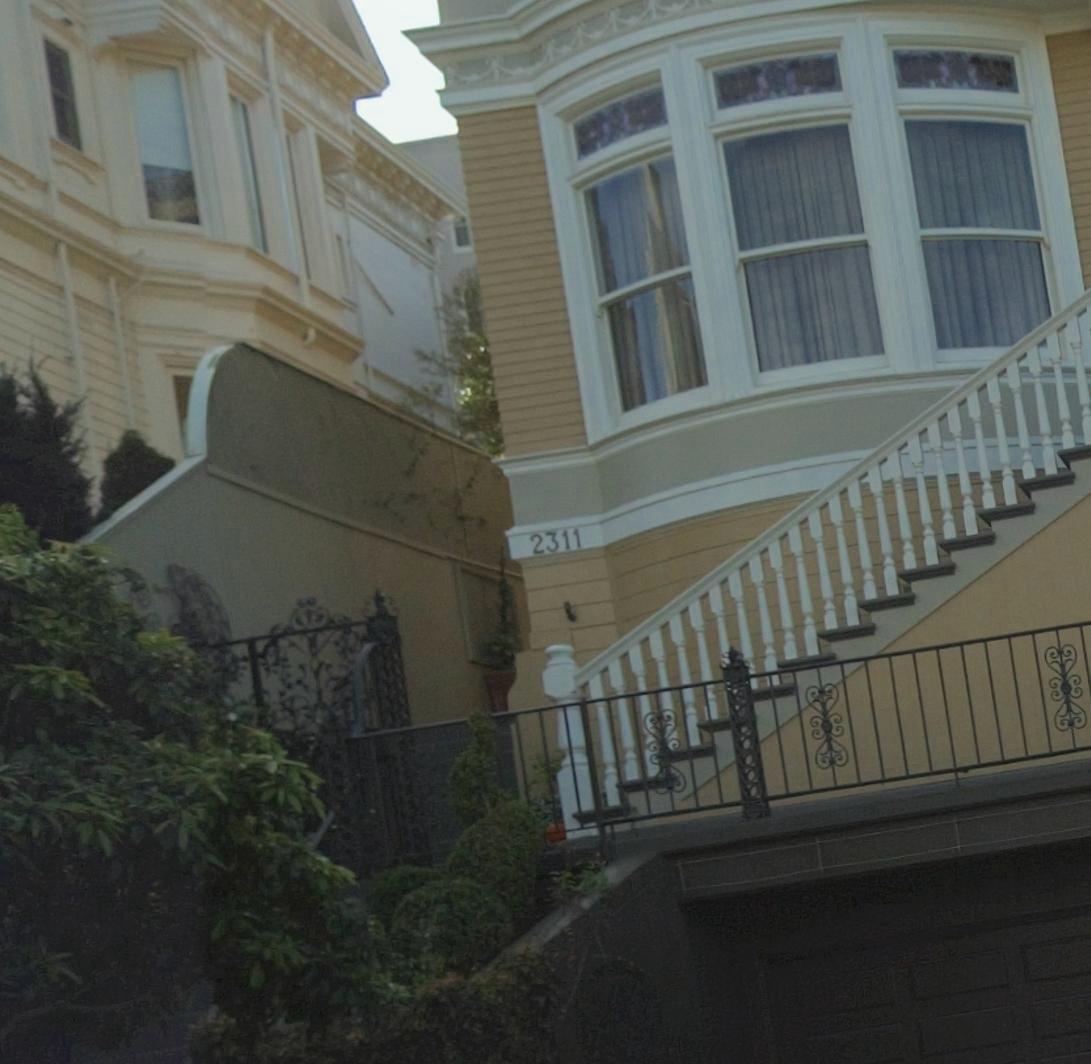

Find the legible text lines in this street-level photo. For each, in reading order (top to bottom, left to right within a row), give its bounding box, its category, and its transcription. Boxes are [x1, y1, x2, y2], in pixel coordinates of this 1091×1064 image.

[527, 525, 584, 557] StreetNumber: 2311